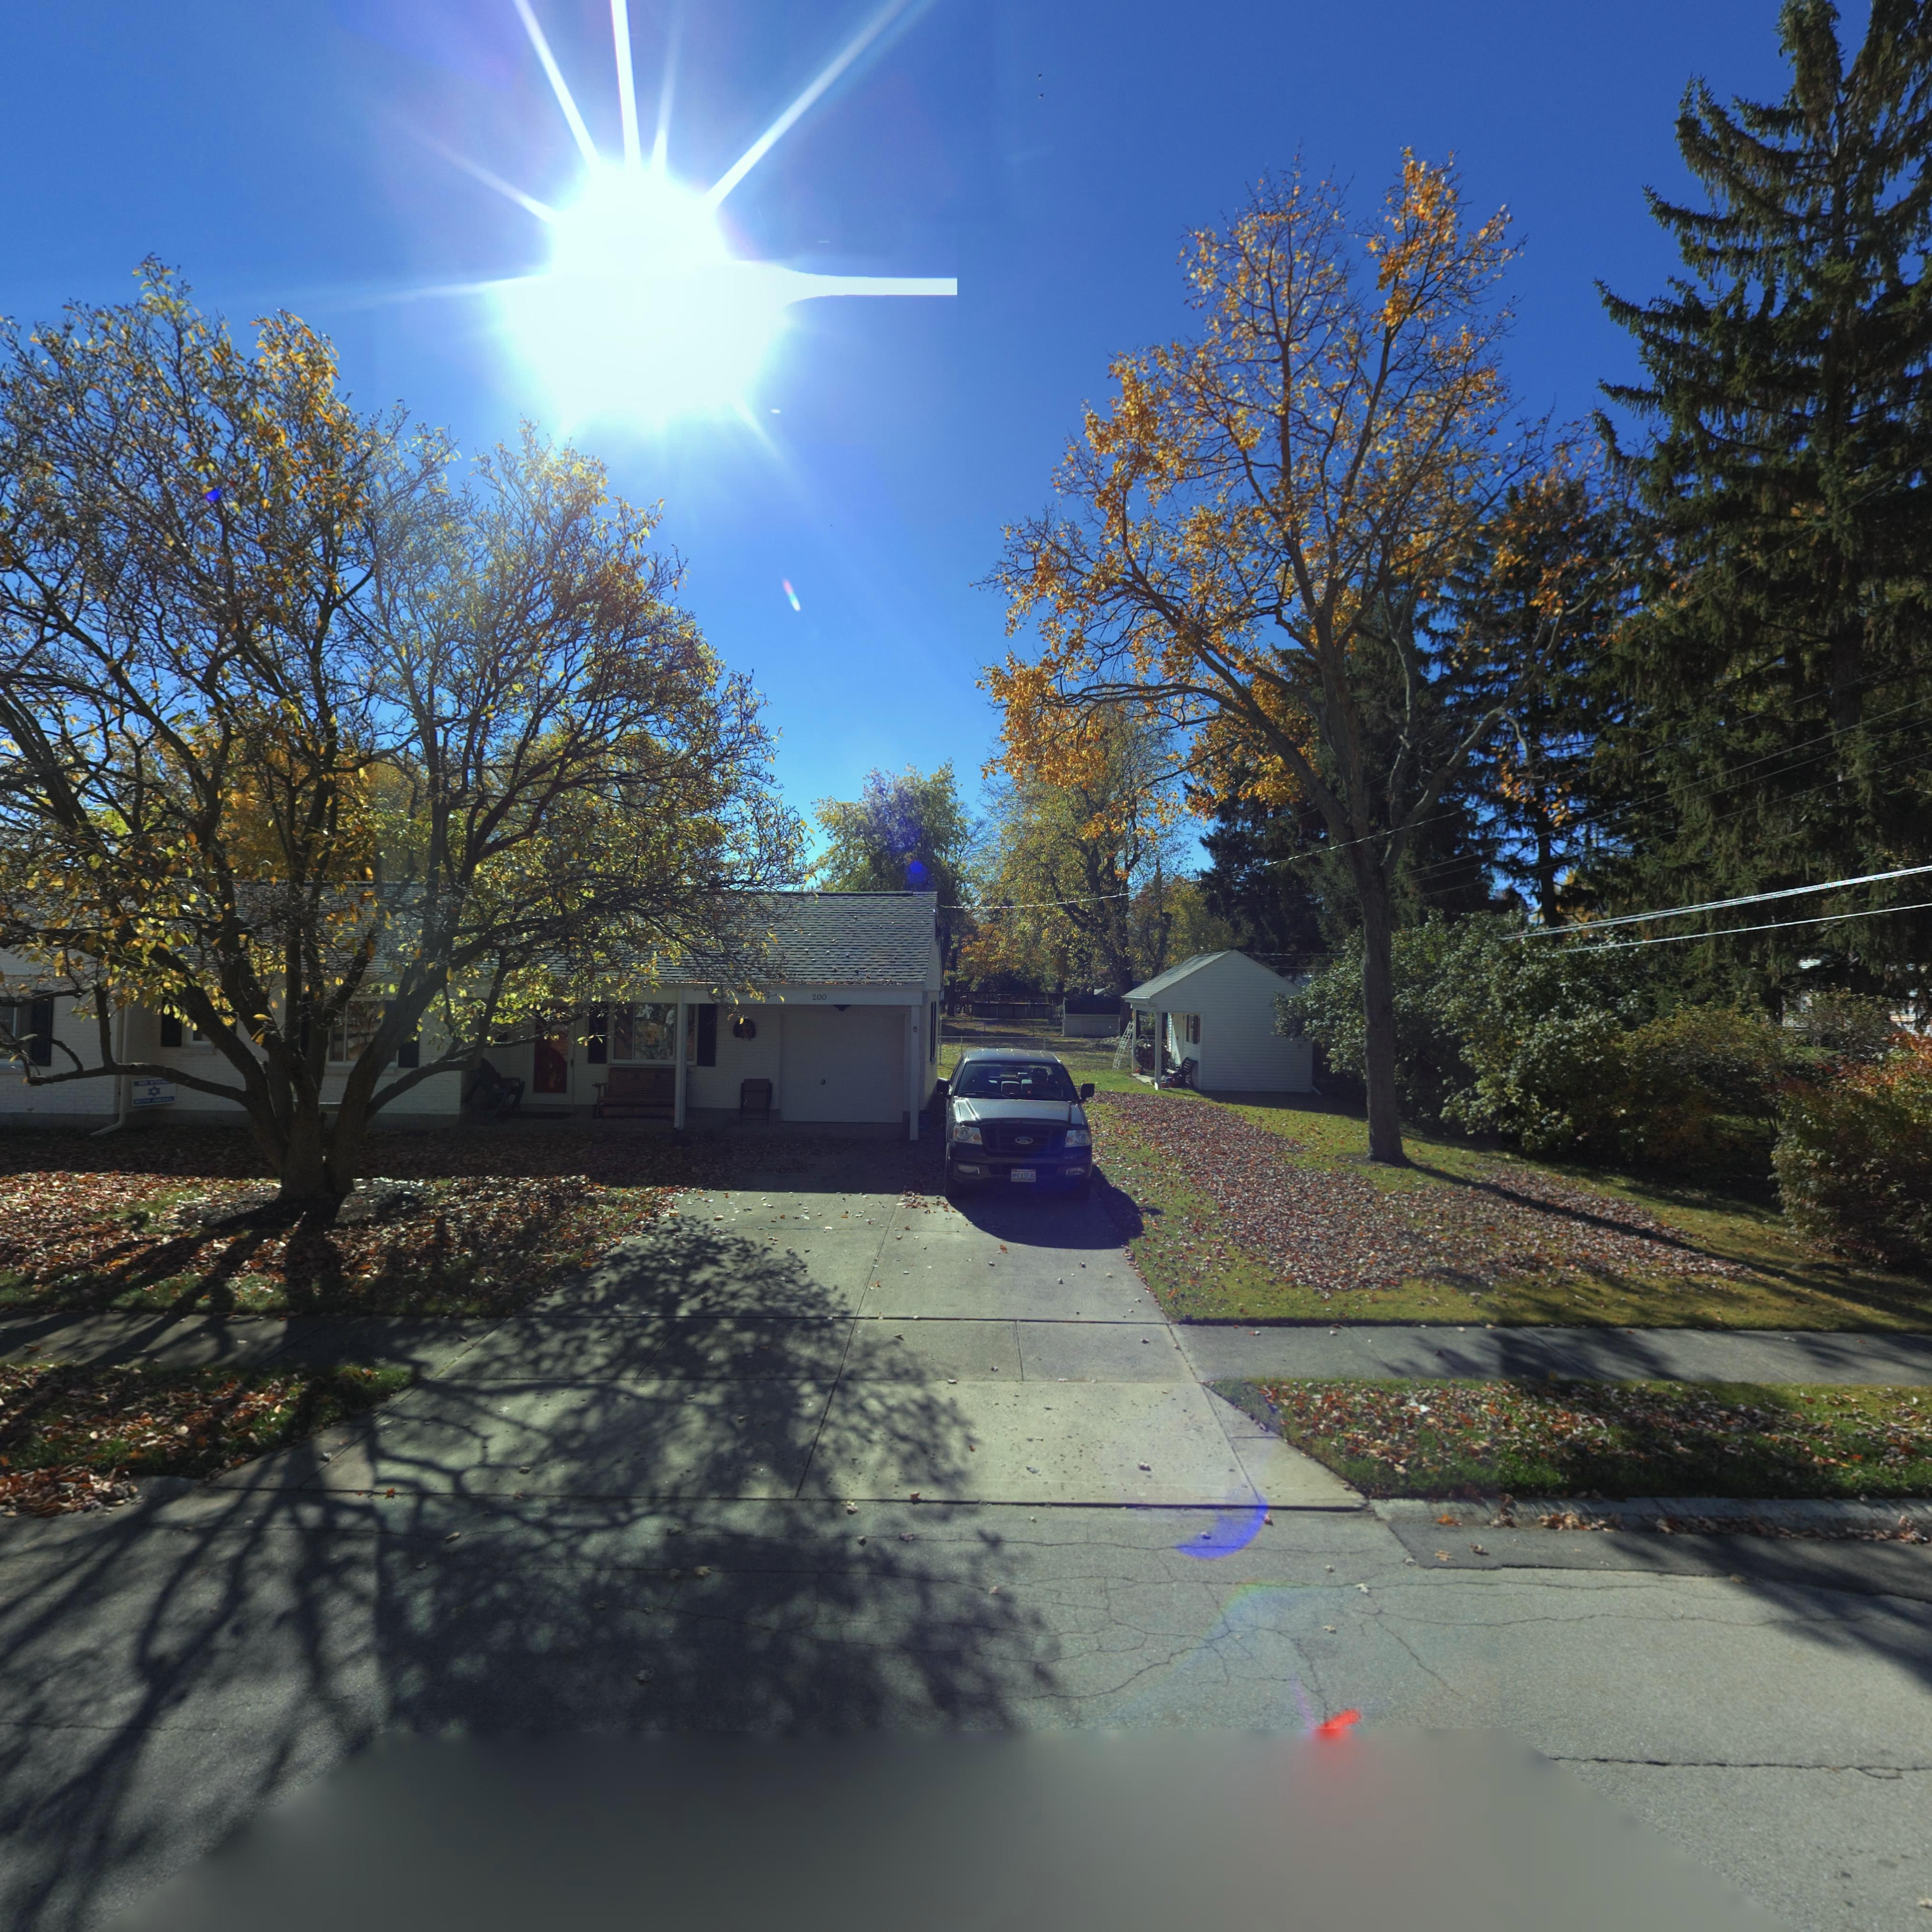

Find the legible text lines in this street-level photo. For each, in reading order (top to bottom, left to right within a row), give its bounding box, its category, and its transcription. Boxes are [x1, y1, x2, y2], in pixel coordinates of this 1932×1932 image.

[811, 993, 828, 1001] StreetNumber: 200